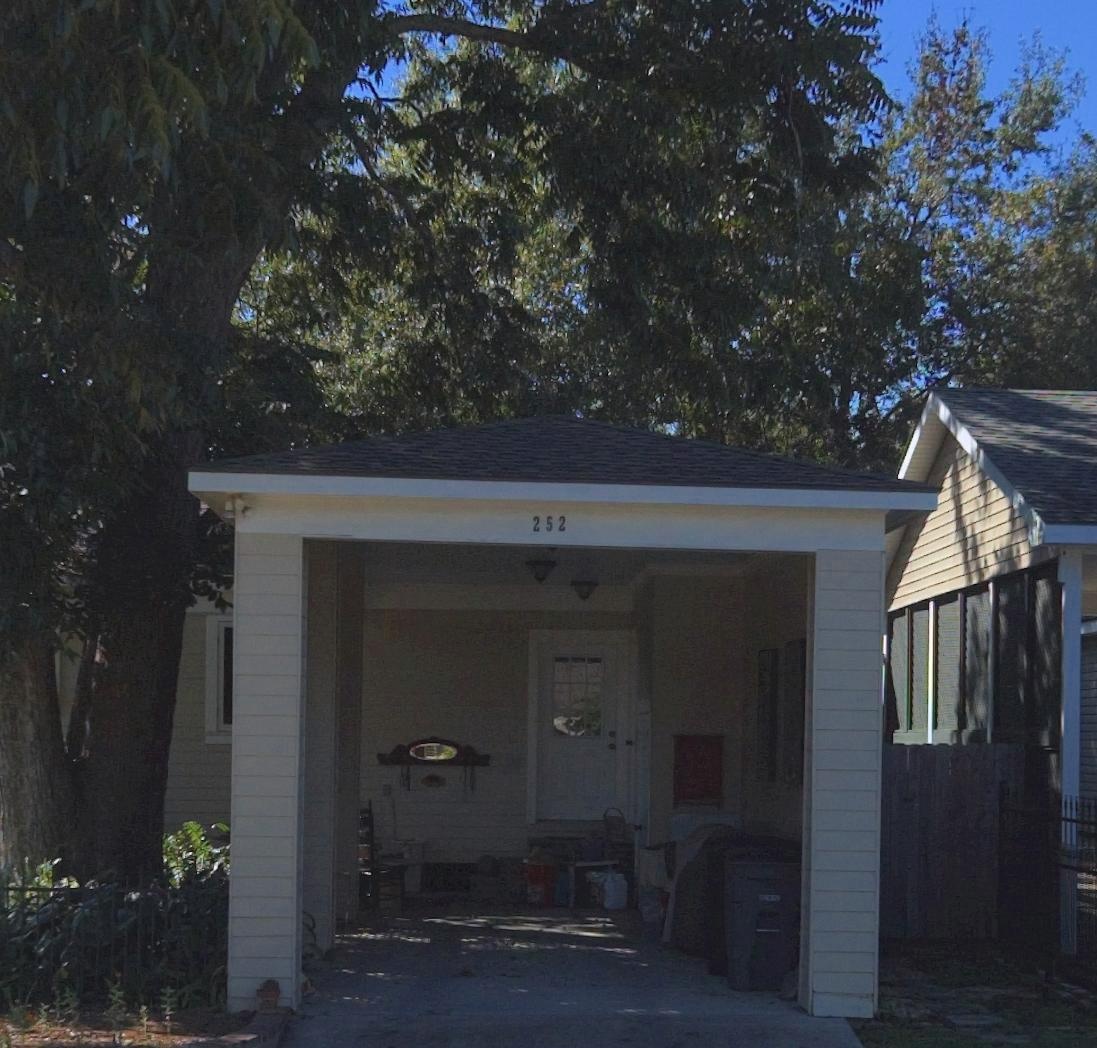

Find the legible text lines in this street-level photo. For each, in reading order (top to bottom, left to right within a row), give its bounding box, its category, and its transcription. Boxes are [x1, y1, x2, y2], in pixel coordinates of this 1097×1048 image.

[530, 513, 568, 534] StreetNumber: 252